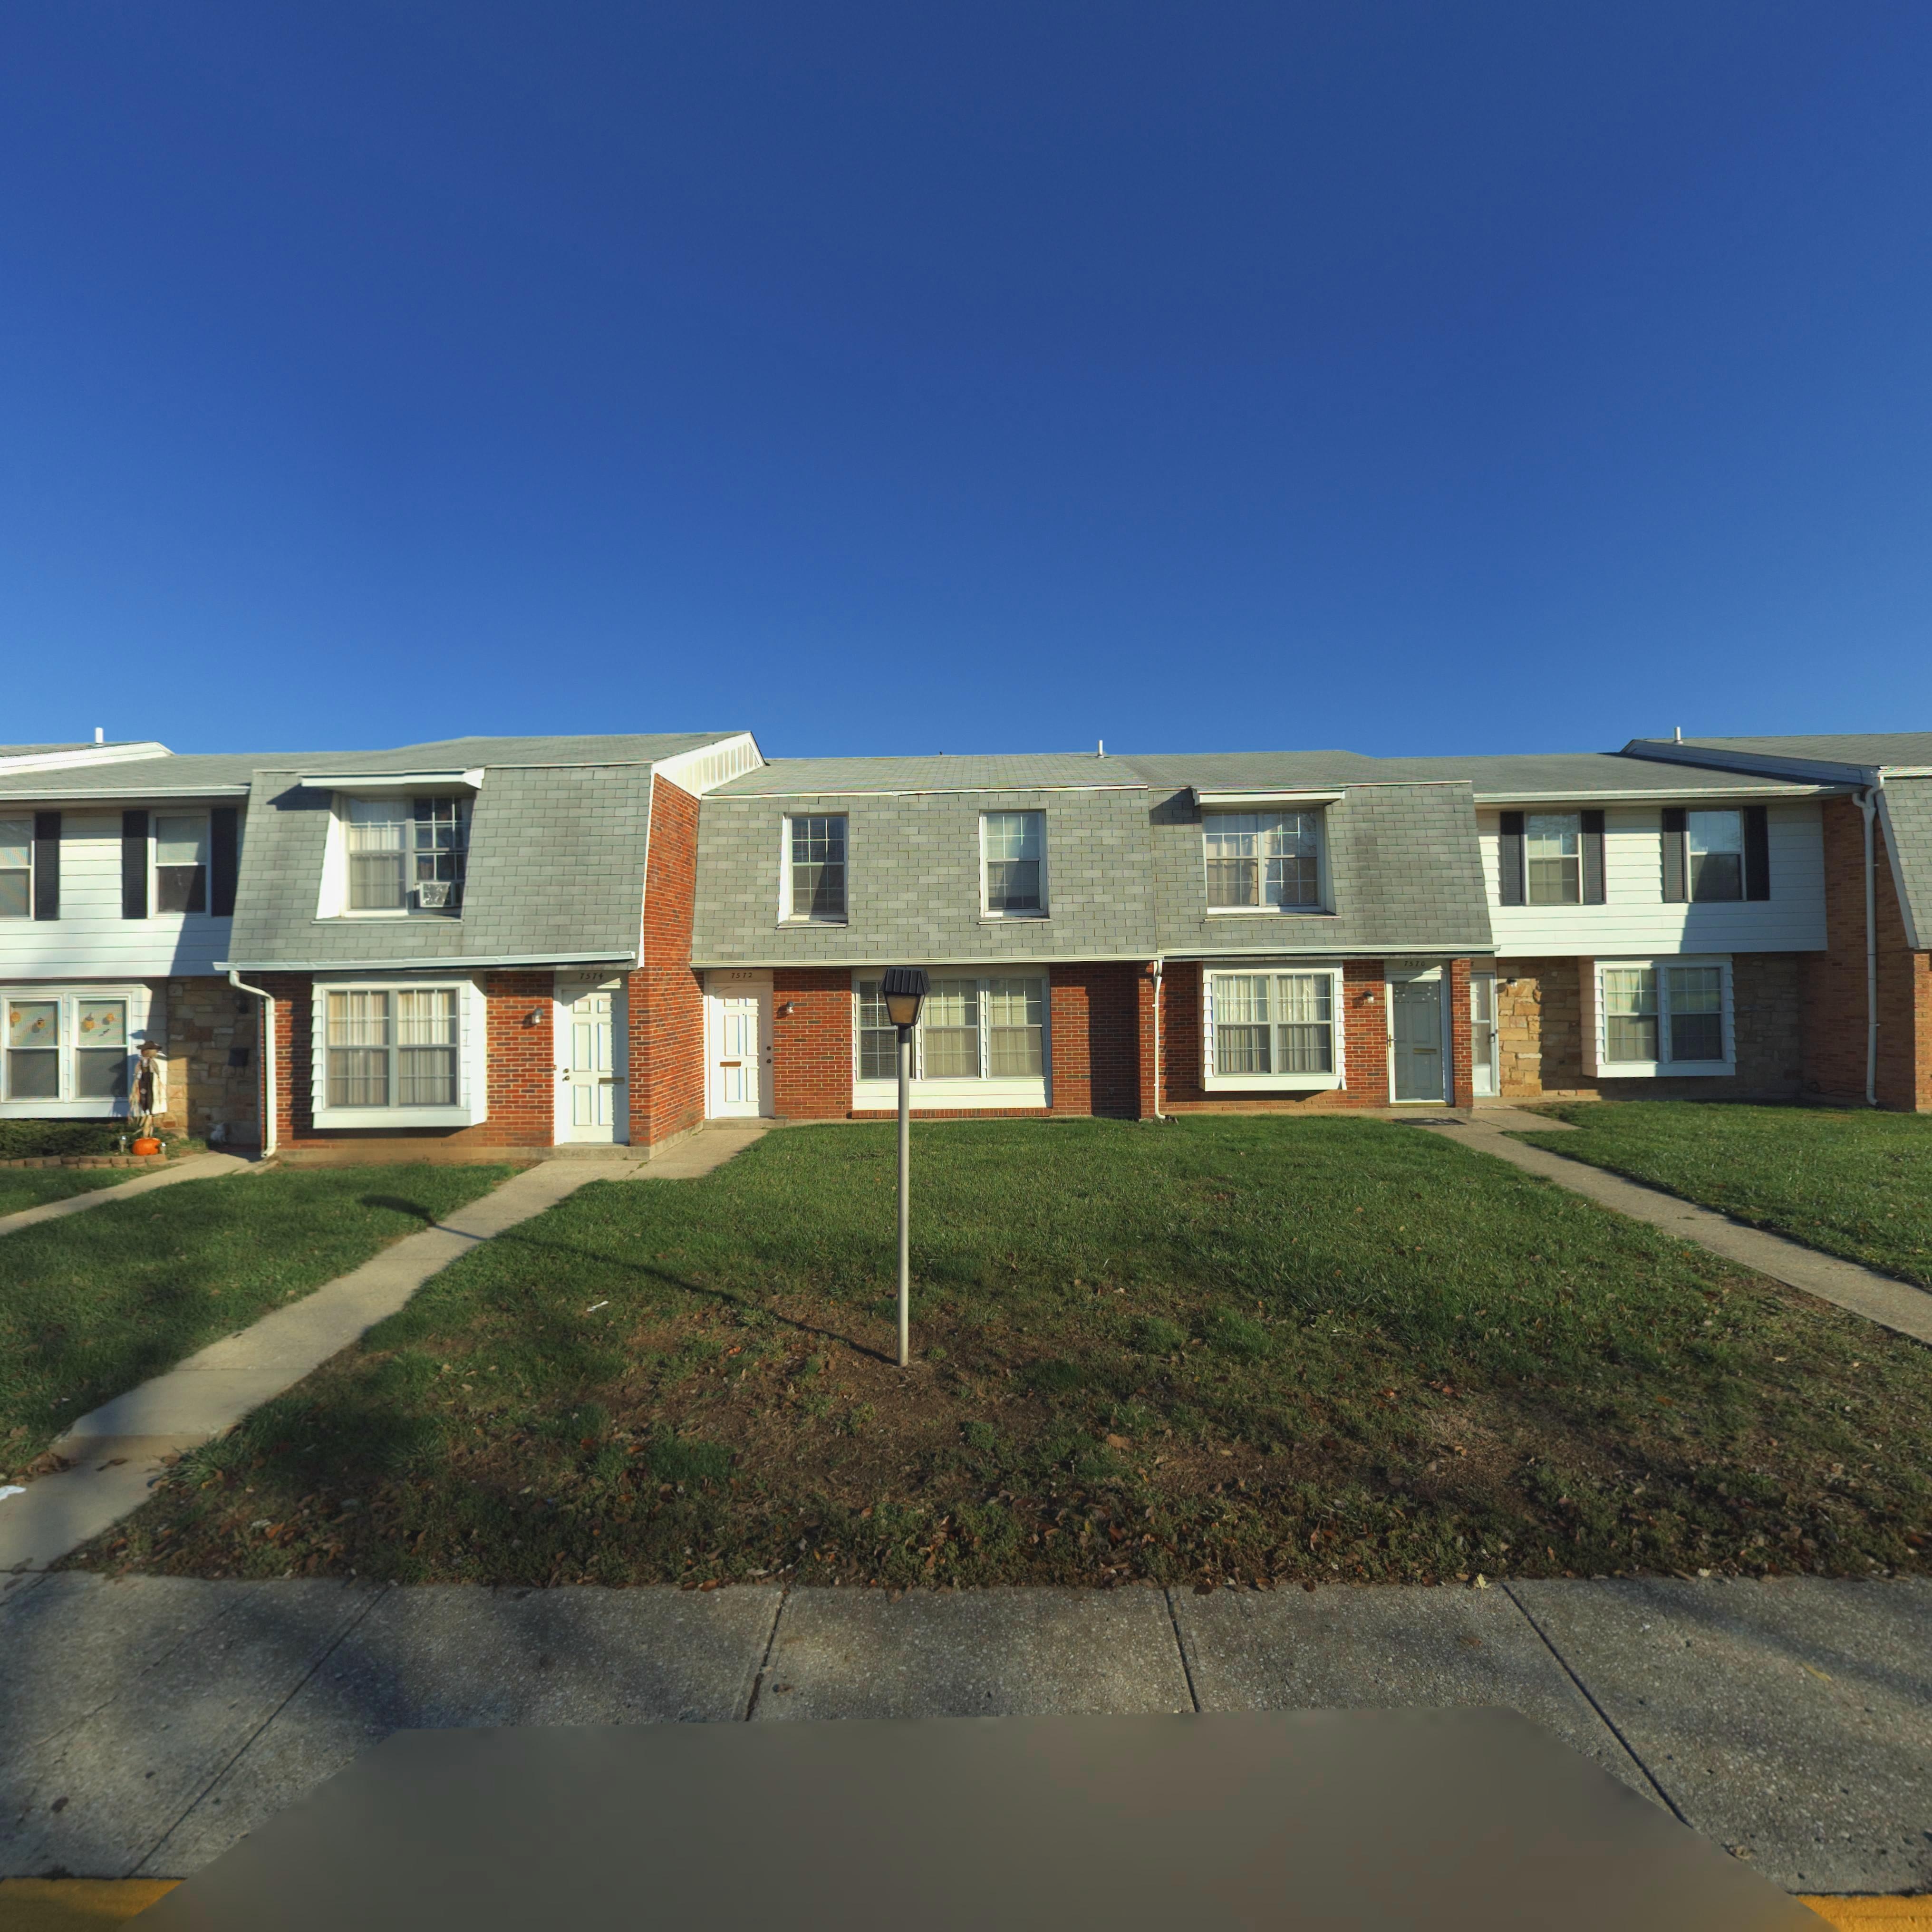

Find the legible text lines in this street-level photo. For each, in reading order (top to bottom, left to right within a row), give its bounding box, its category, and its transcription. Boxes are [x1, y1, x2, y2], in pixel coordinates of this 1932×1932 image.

[1403, 960, 1426, 967] StreetNumber: 7570
[1469, 960, 1475, 968] StreetNumber: 8
[579, 971, 605, 981] StreetNumber: 7574
[730, 971, 754, 980] StreetNumber: 7572